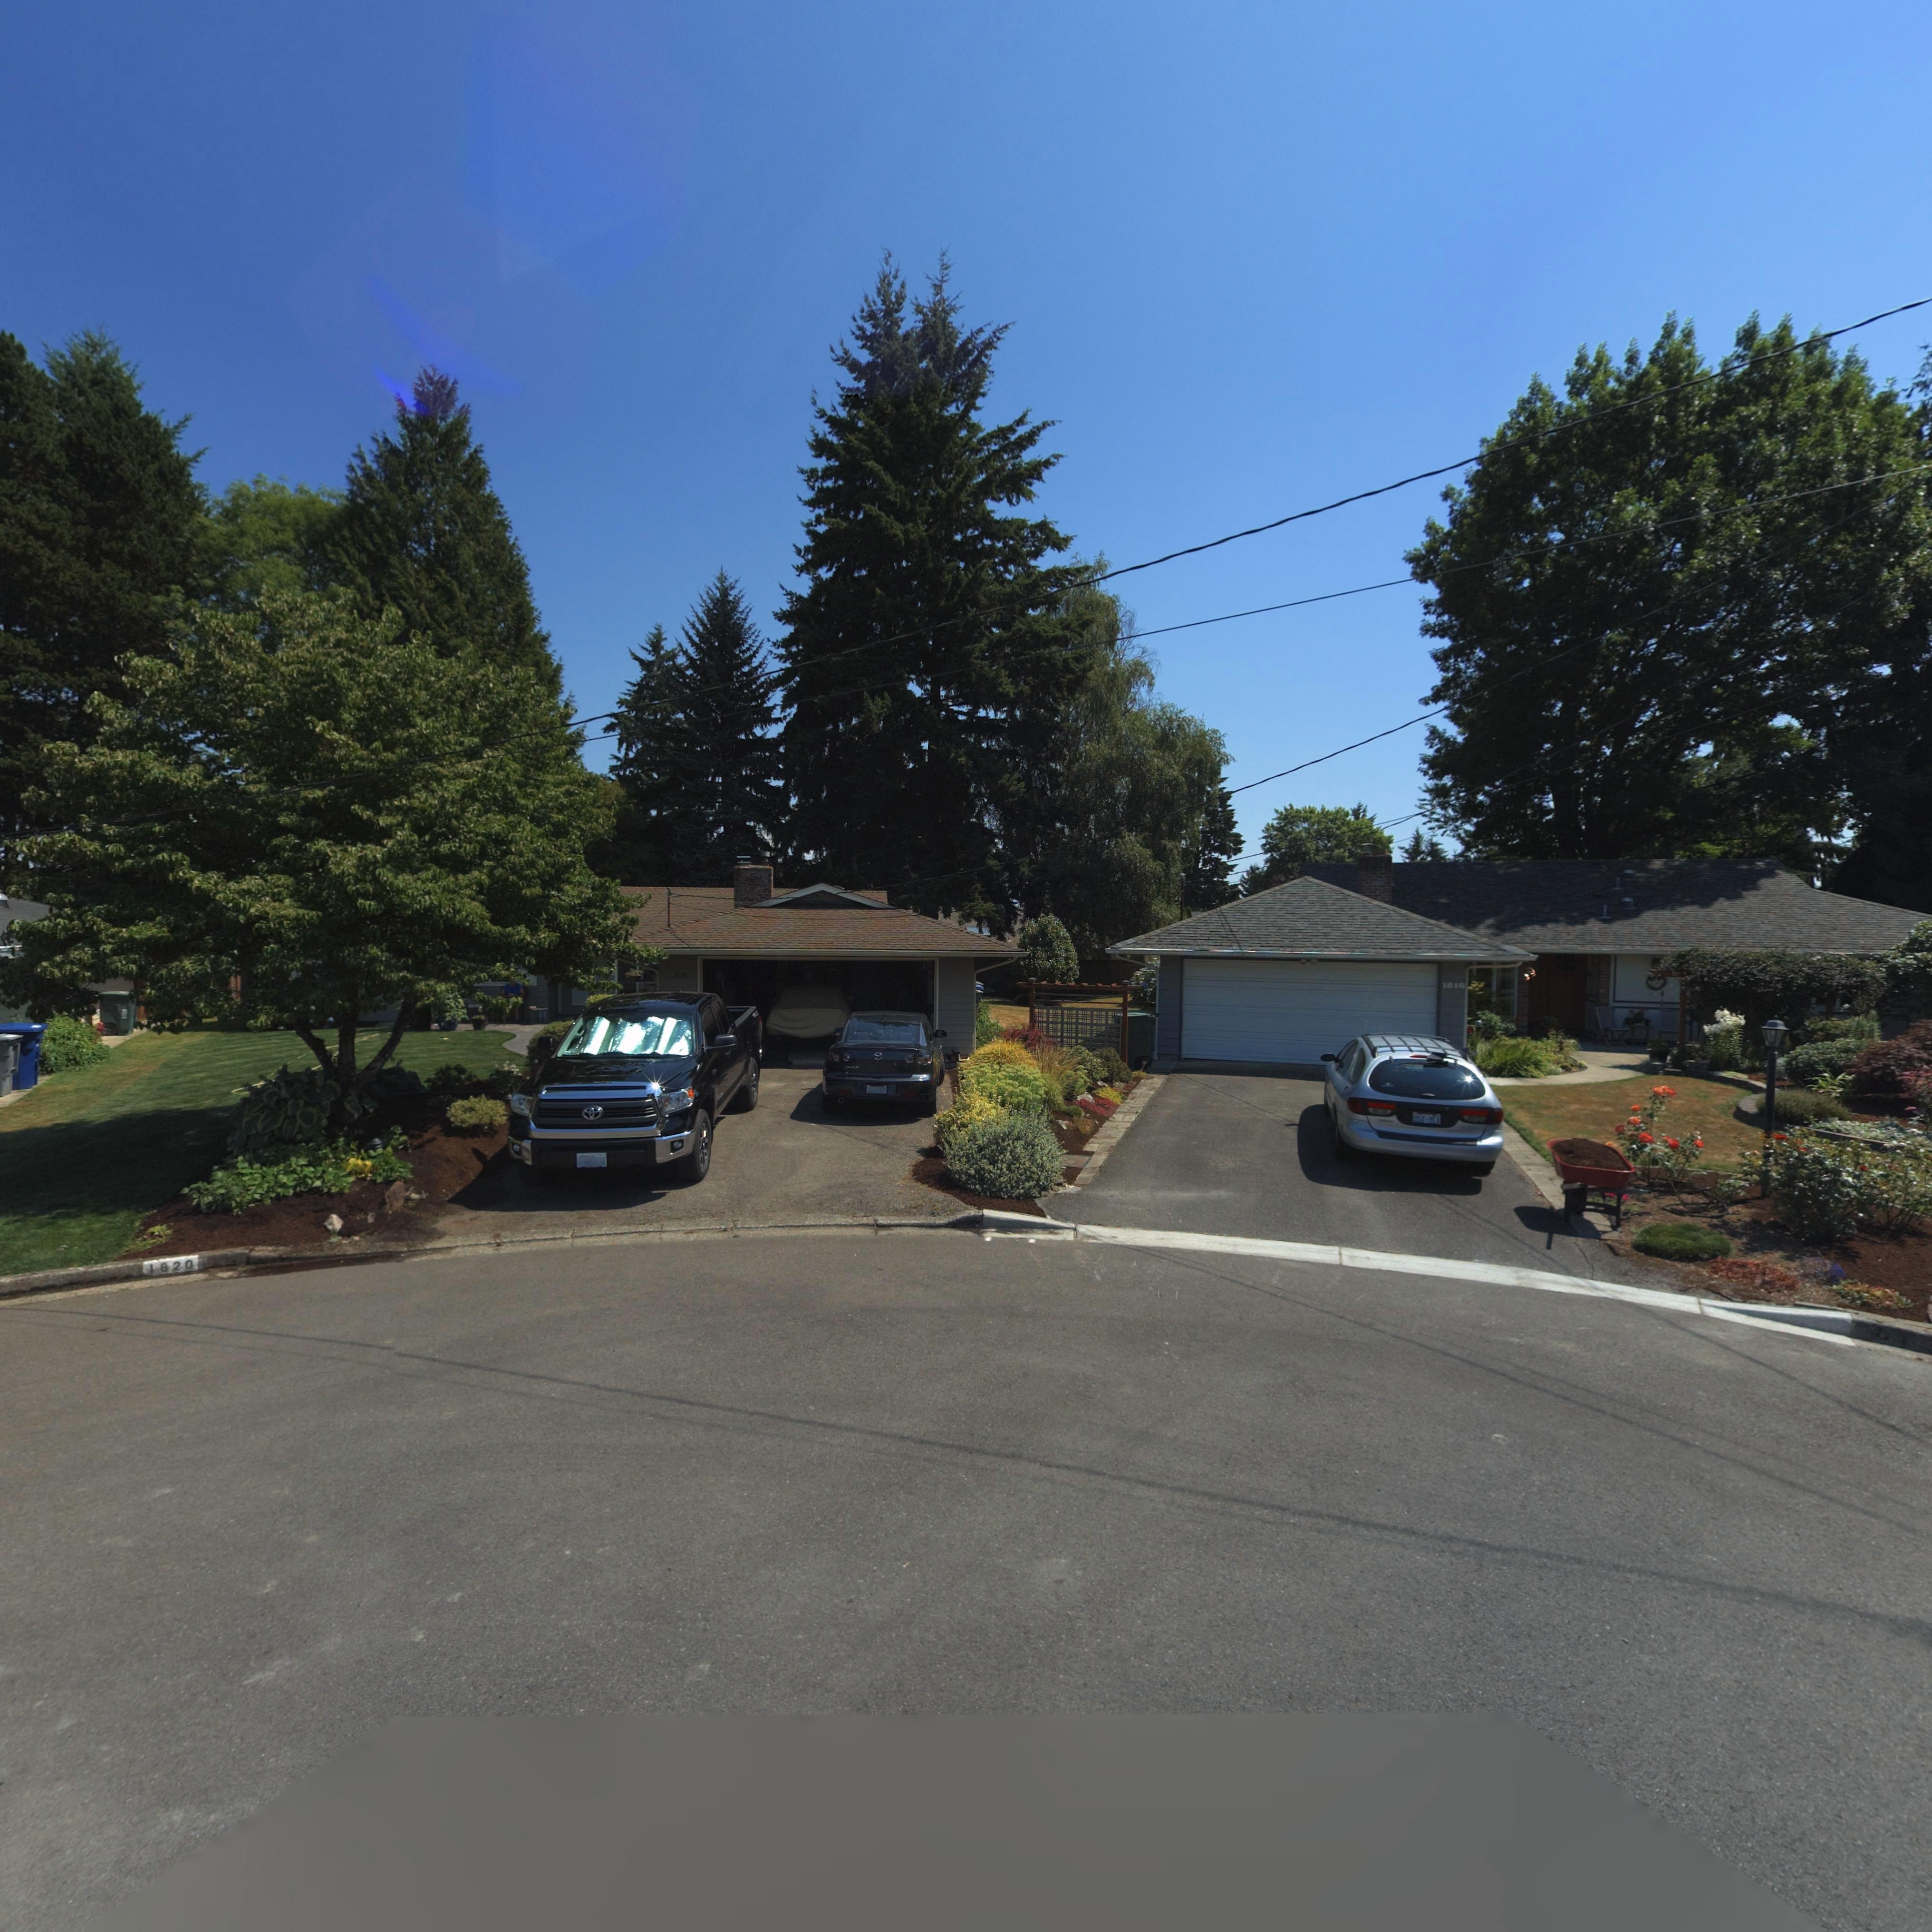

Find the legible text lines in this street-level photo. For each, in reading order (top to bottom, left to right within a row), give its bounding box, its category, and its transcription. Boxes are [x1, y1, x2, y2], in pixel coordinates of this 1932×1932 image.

[1442, 982, 1465, 989] StreetNumber: 1816
[149, 1259, 193, 1274] StreetNumber: 1820